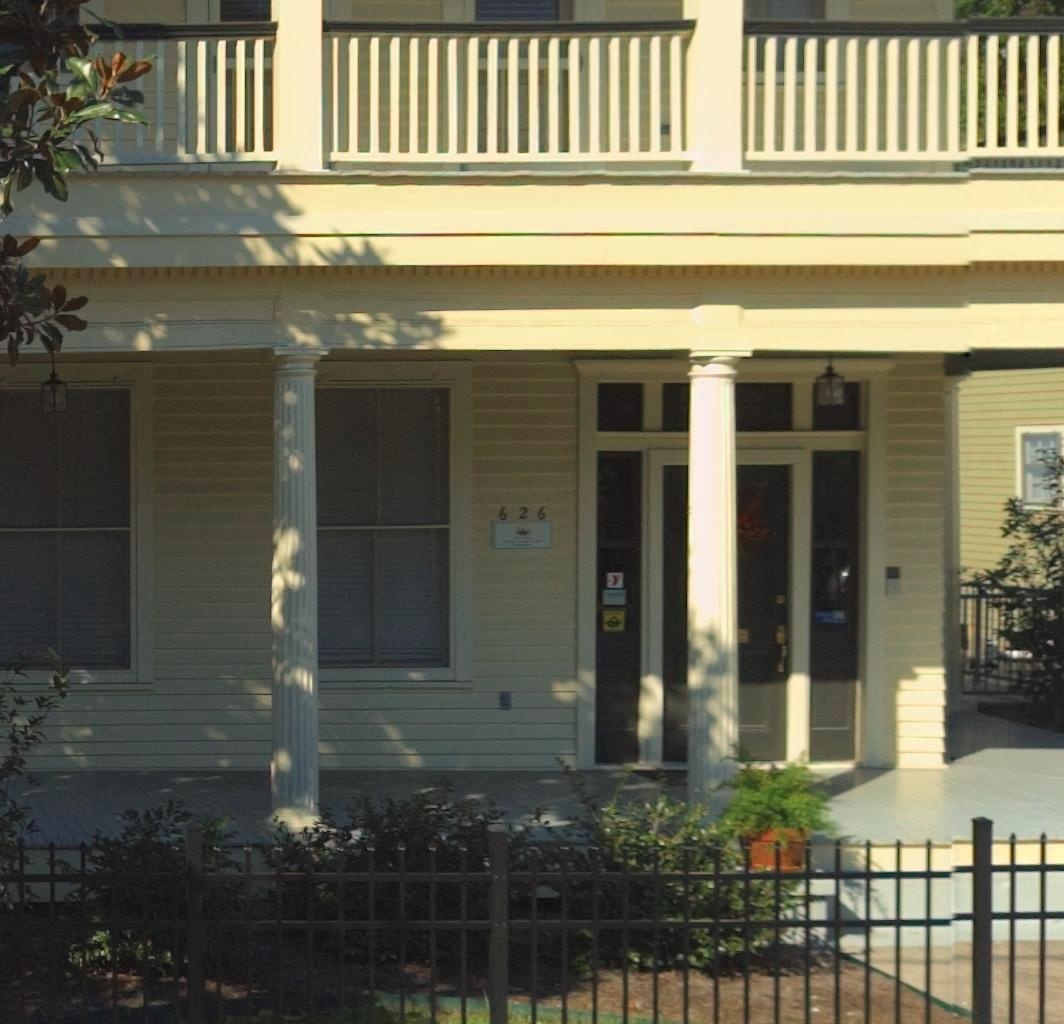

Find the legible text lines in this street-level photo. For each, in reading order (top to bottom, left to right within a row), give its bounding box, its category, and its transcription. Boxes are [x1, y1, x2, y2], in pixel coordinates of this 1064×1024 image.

[496, 503, 550, 523] StreetNumber: 626